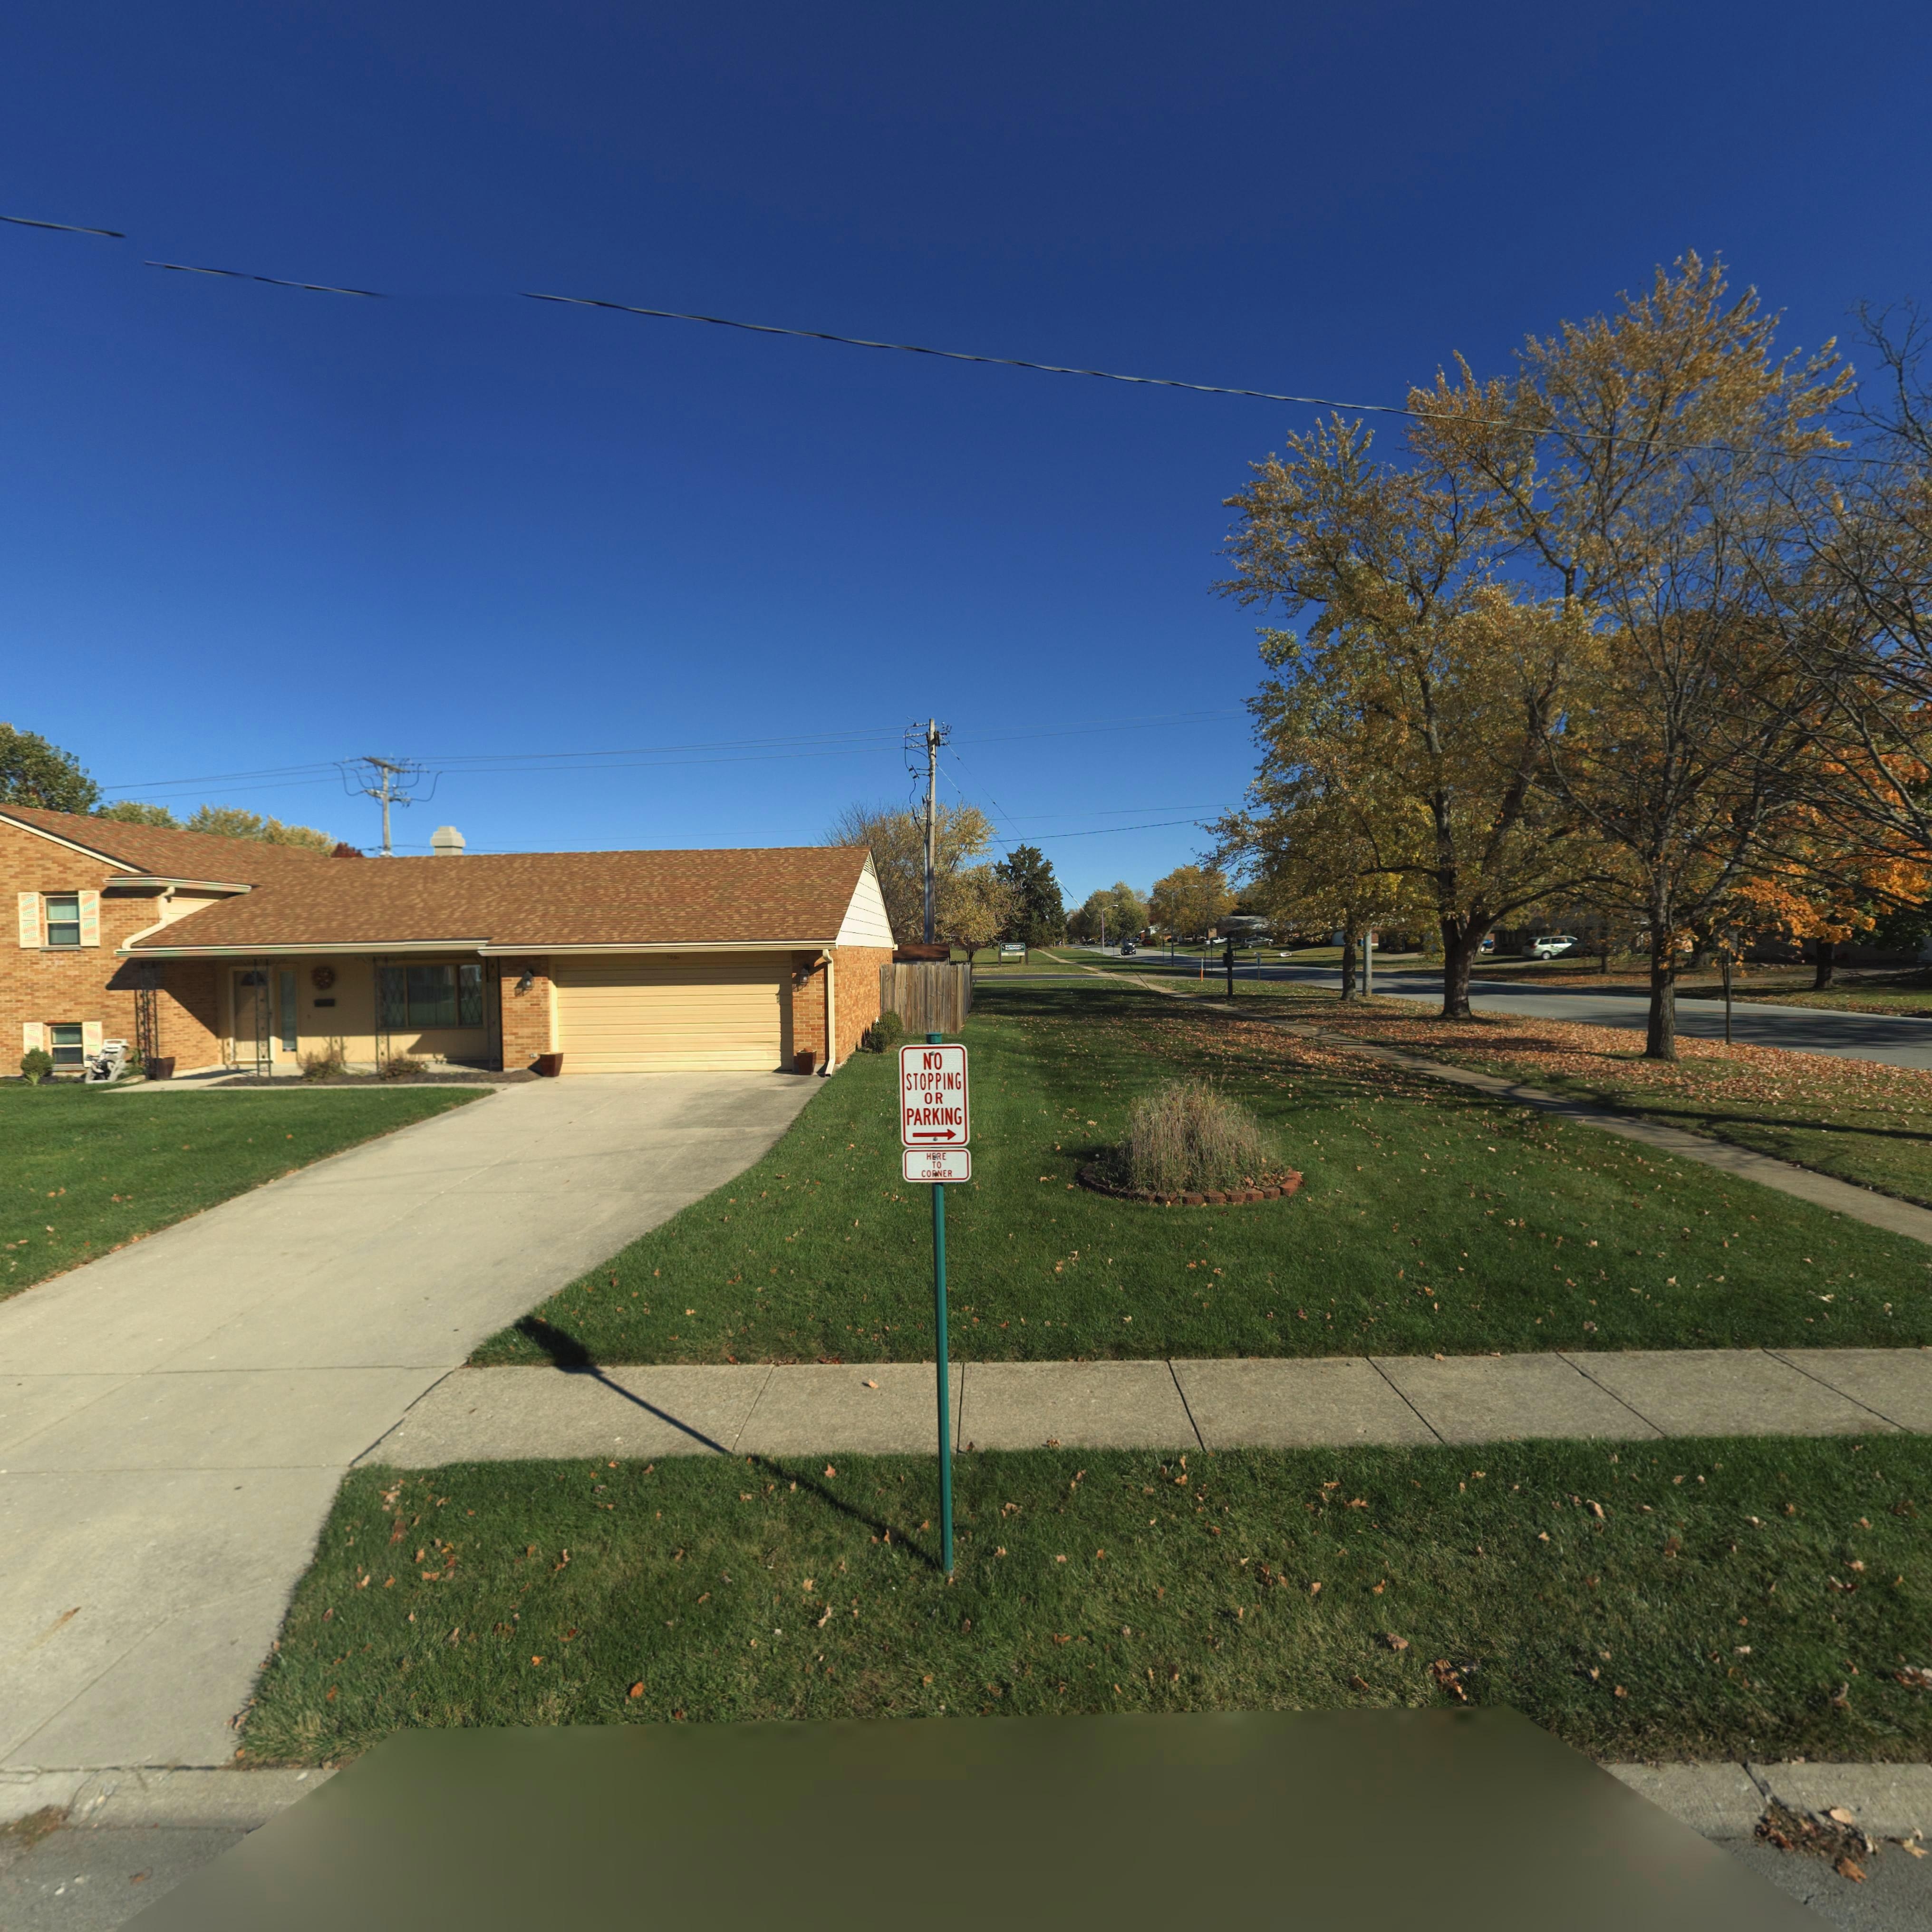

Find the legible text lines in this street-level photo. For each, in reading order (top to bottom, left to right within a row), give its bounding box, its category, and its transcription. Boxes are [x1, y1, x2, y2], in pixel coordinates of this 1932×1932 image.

[666, 955, 680, 960] StreetNumber: 7000